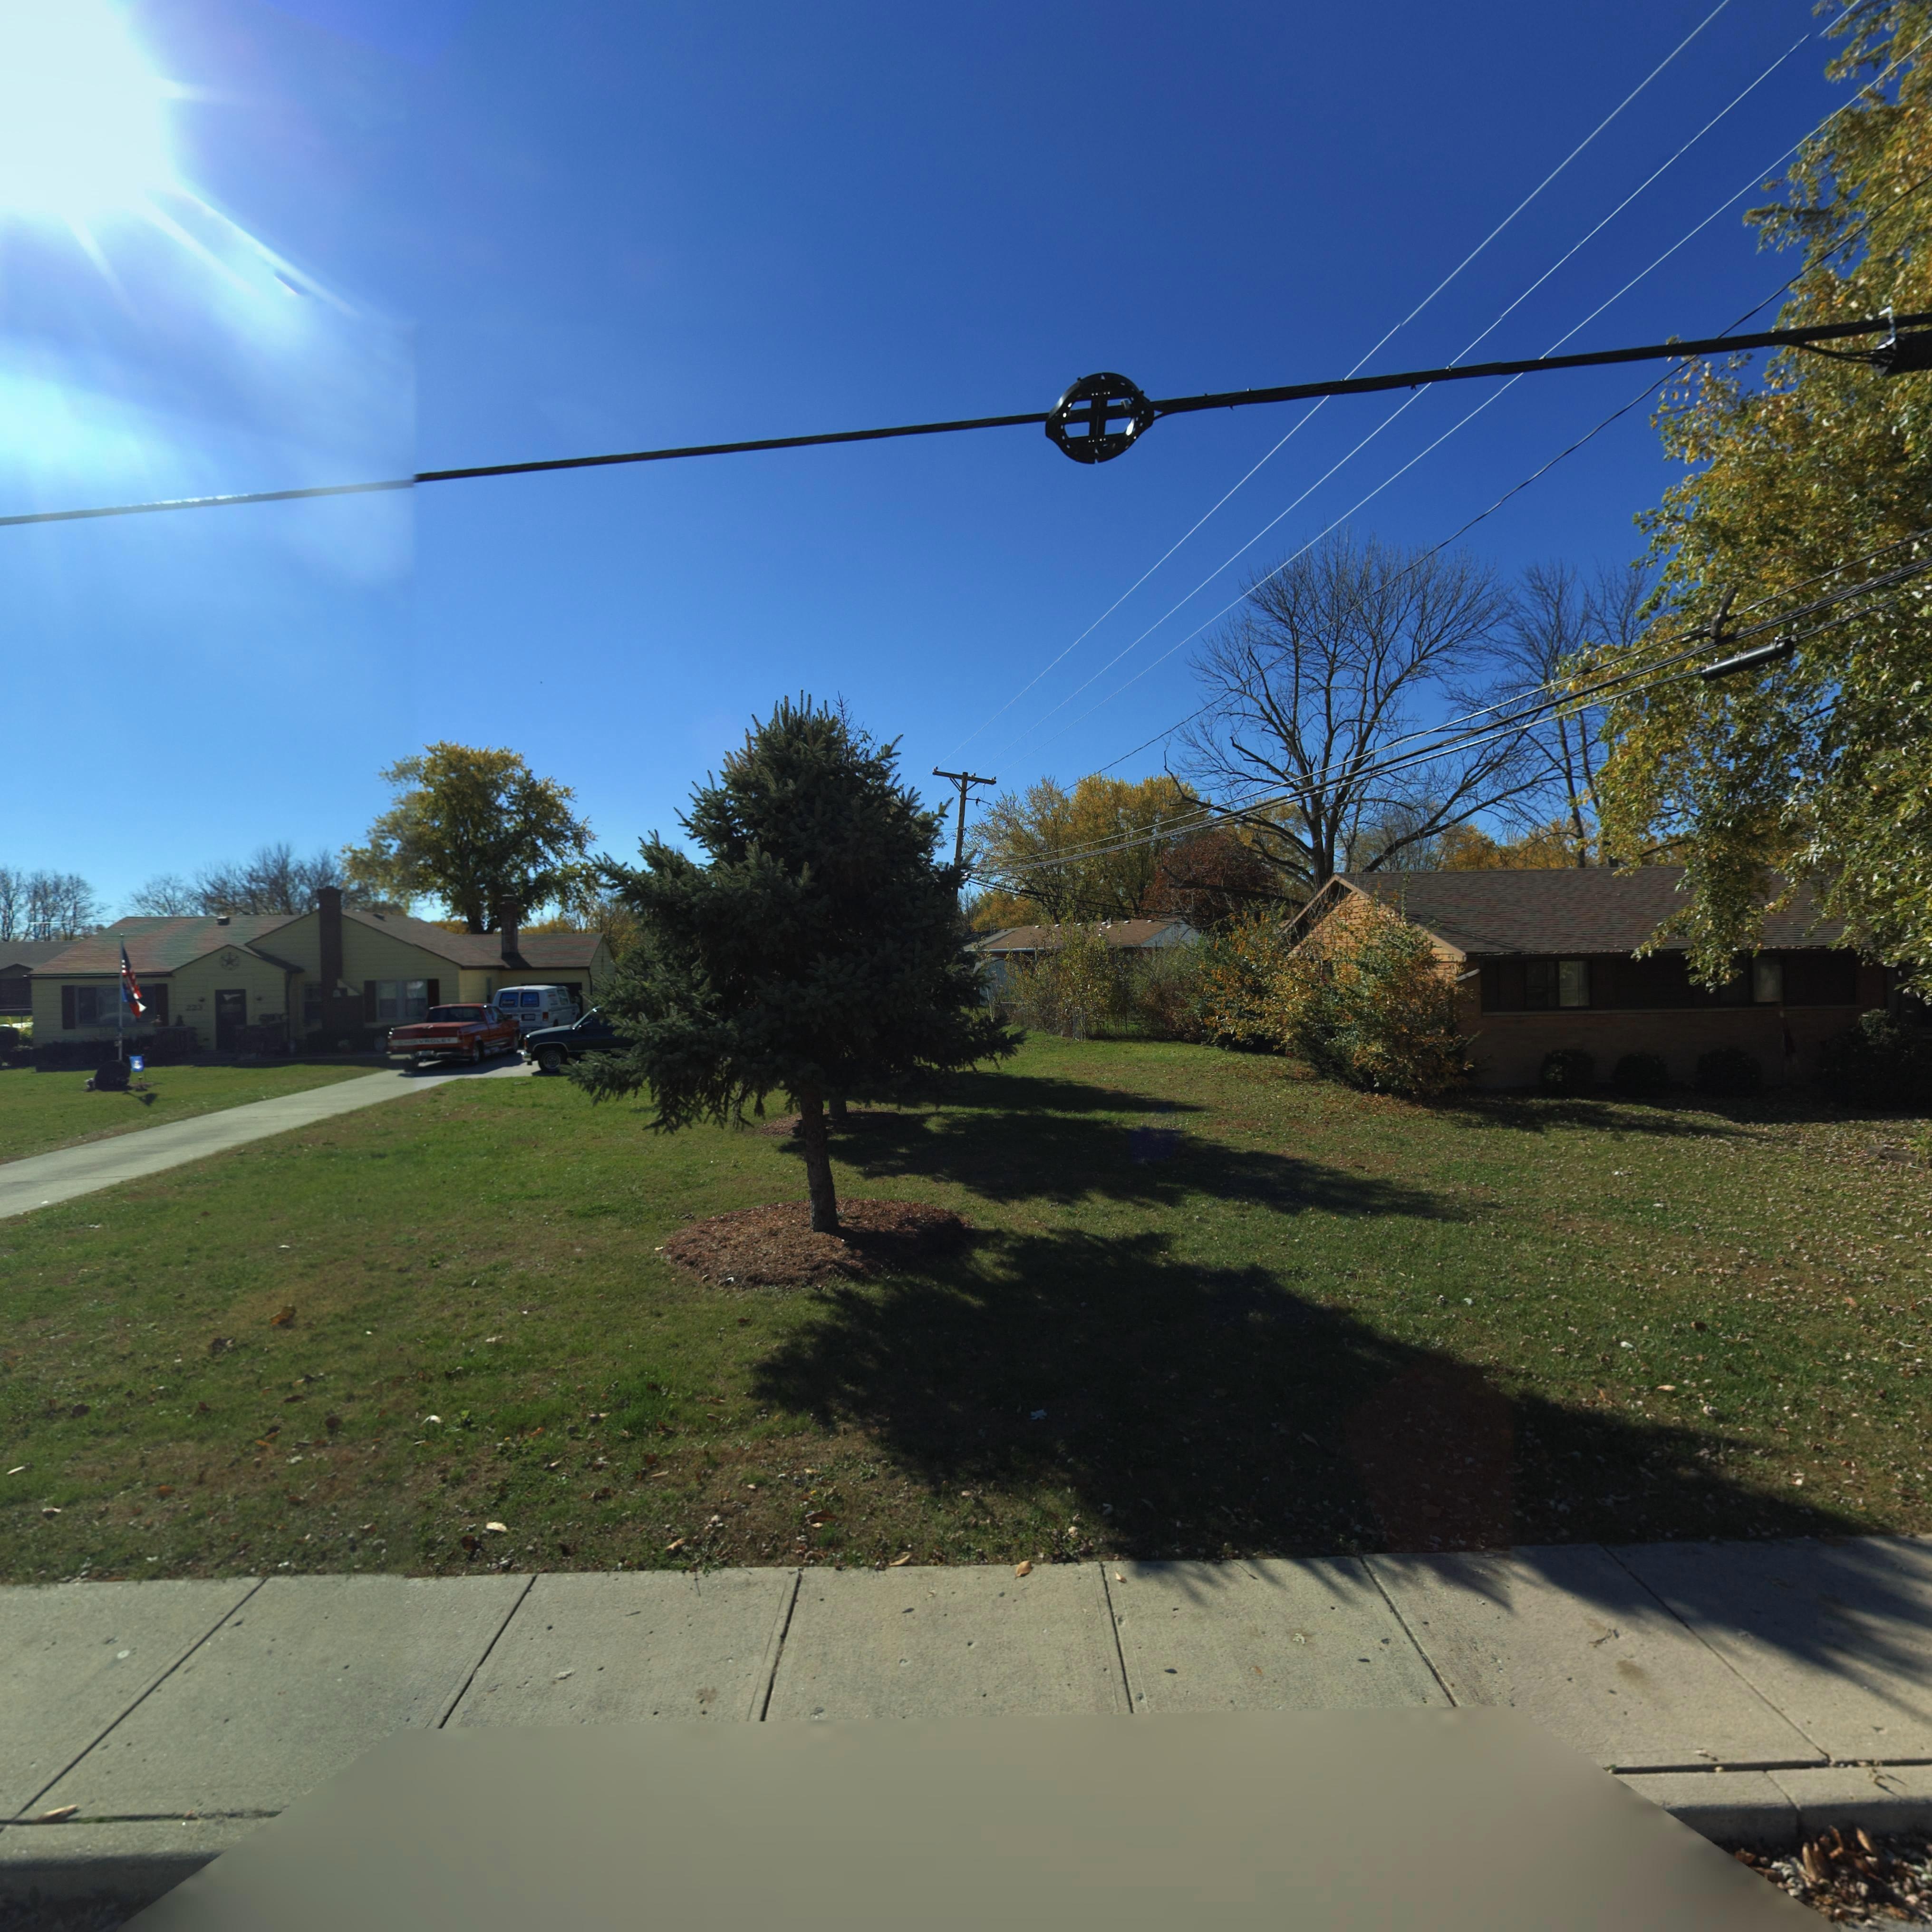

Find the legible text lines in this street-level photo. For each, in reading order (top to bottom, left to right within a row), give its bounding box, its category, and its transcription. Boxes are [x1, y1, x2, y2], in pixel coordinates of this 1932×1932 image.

[185, 1004, 203, 1012] StreetNumber: 223